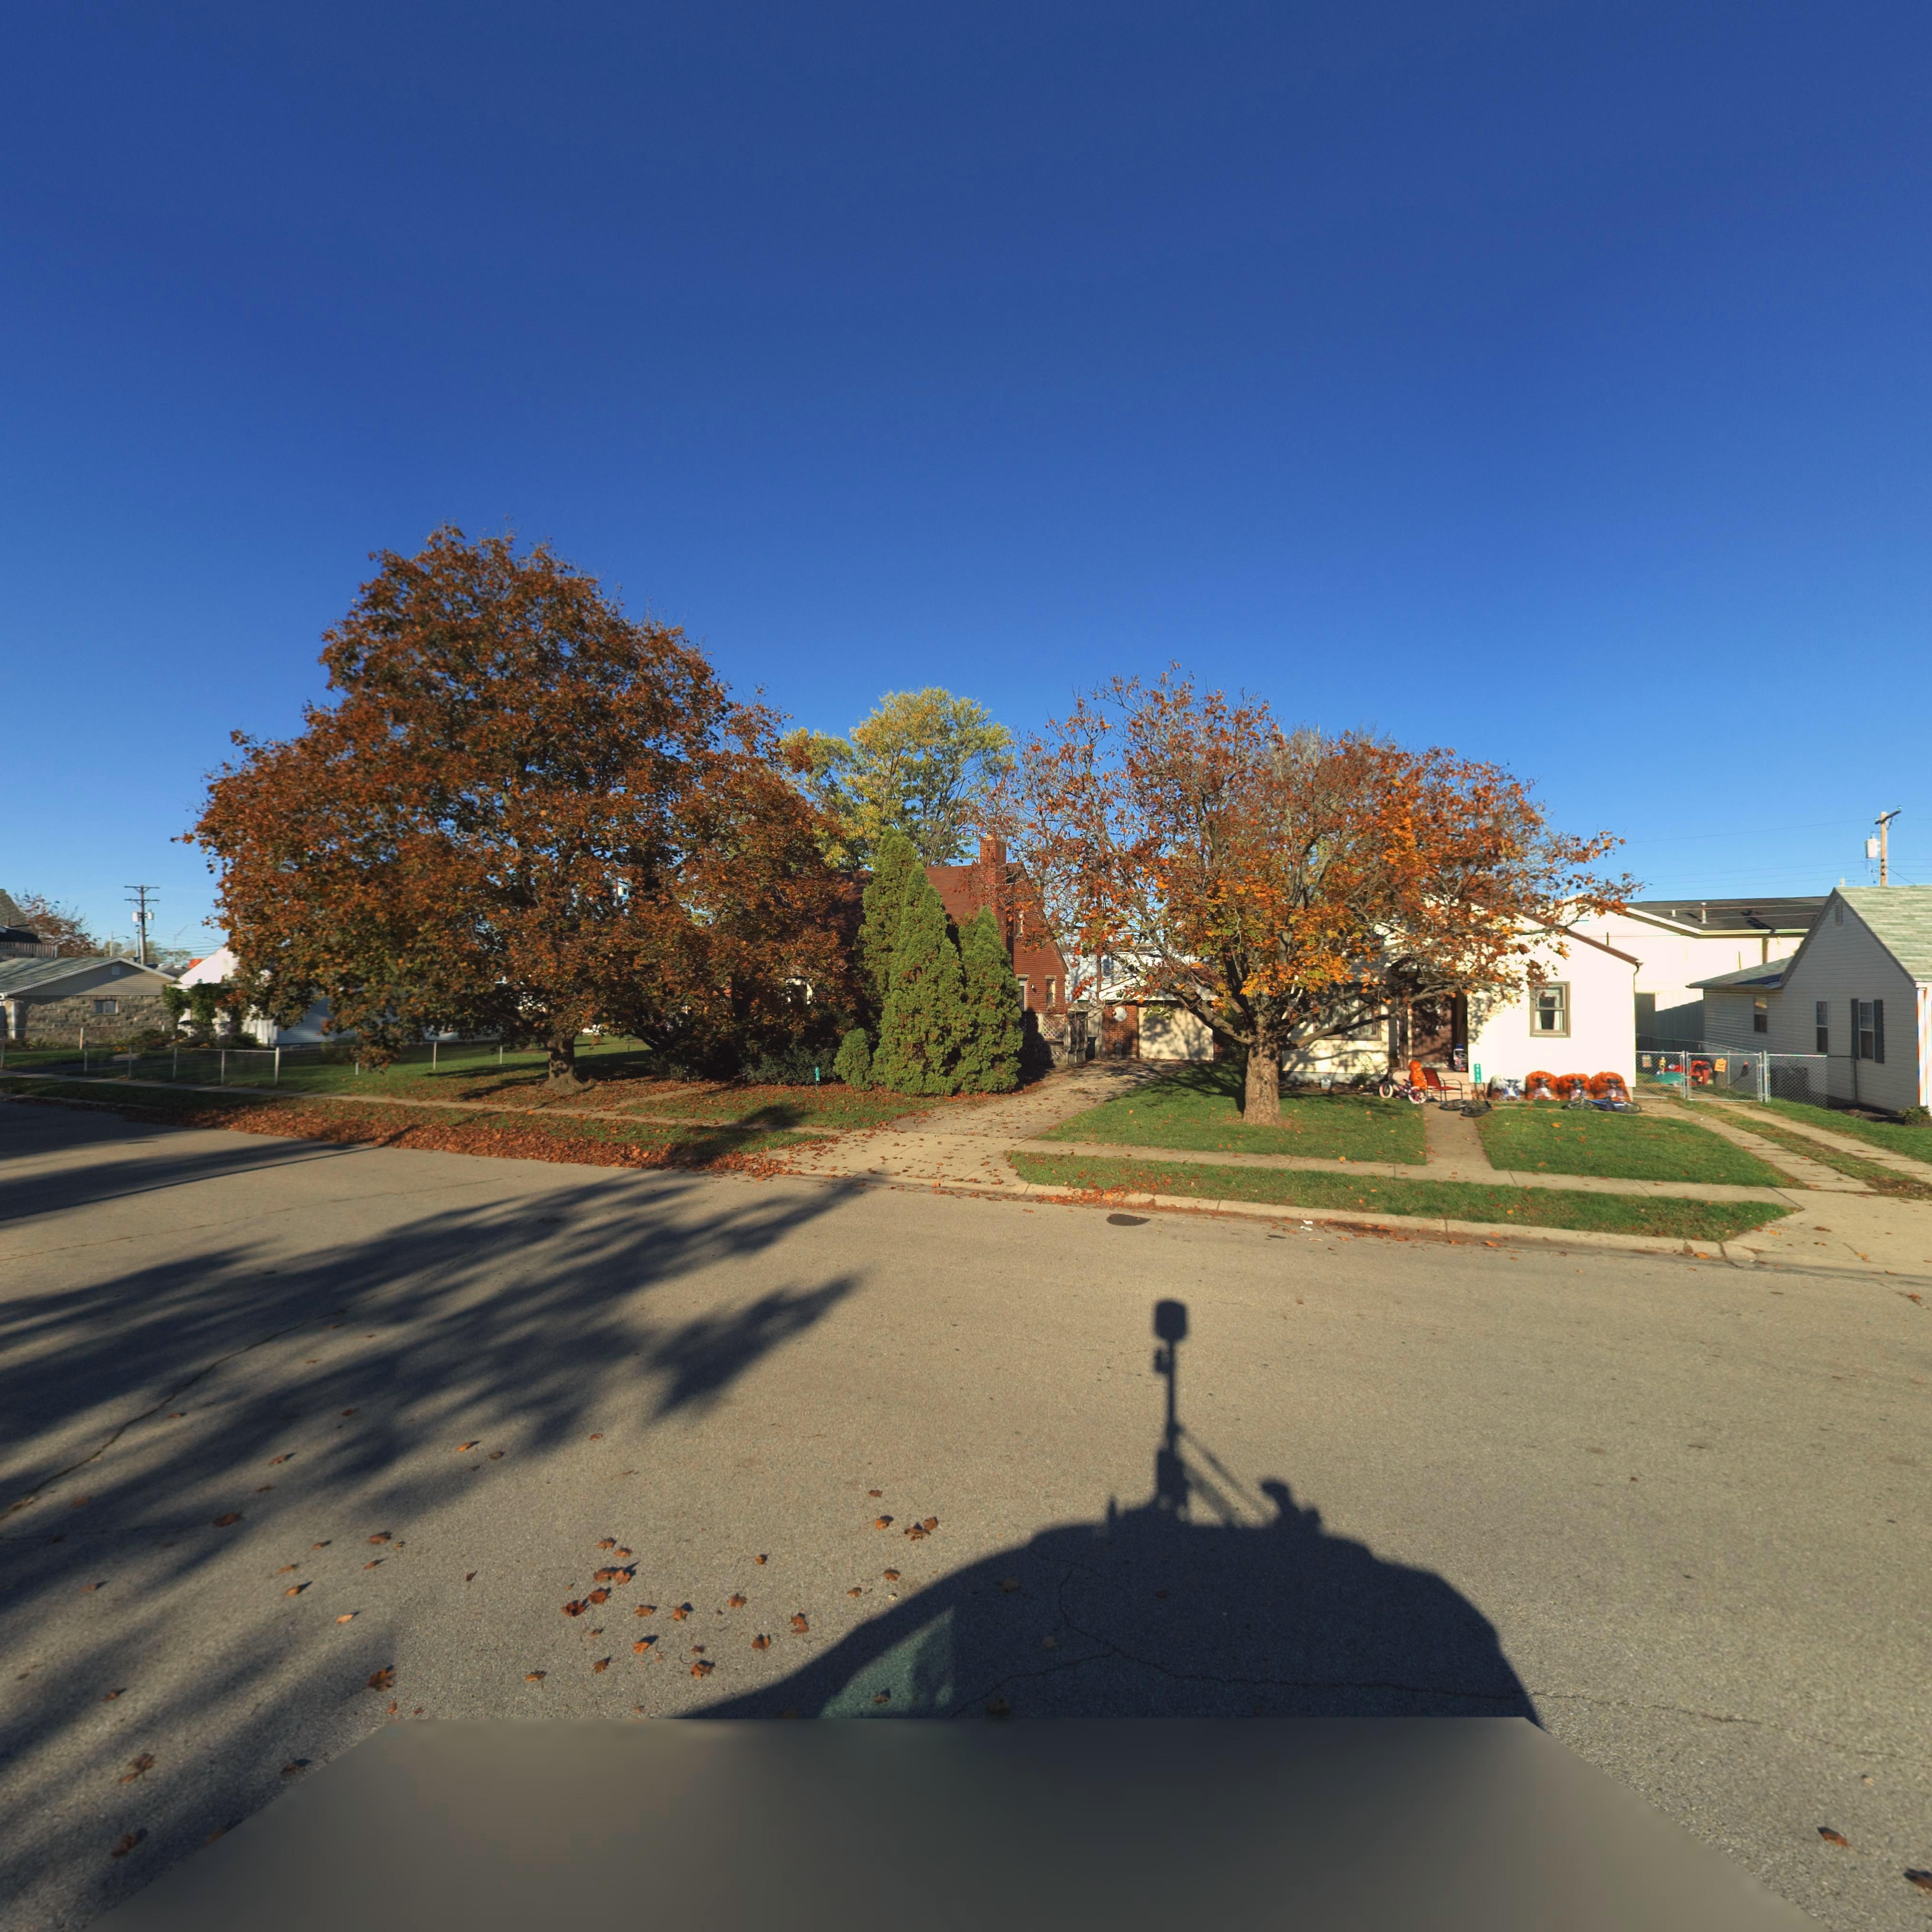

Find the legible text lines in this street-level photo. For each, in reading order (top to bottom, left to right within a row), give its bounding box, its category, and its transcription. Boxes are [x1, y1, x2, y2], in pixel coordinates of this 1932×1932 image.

[1475, 1063, 1480, 1084] StreetNumber: *71*